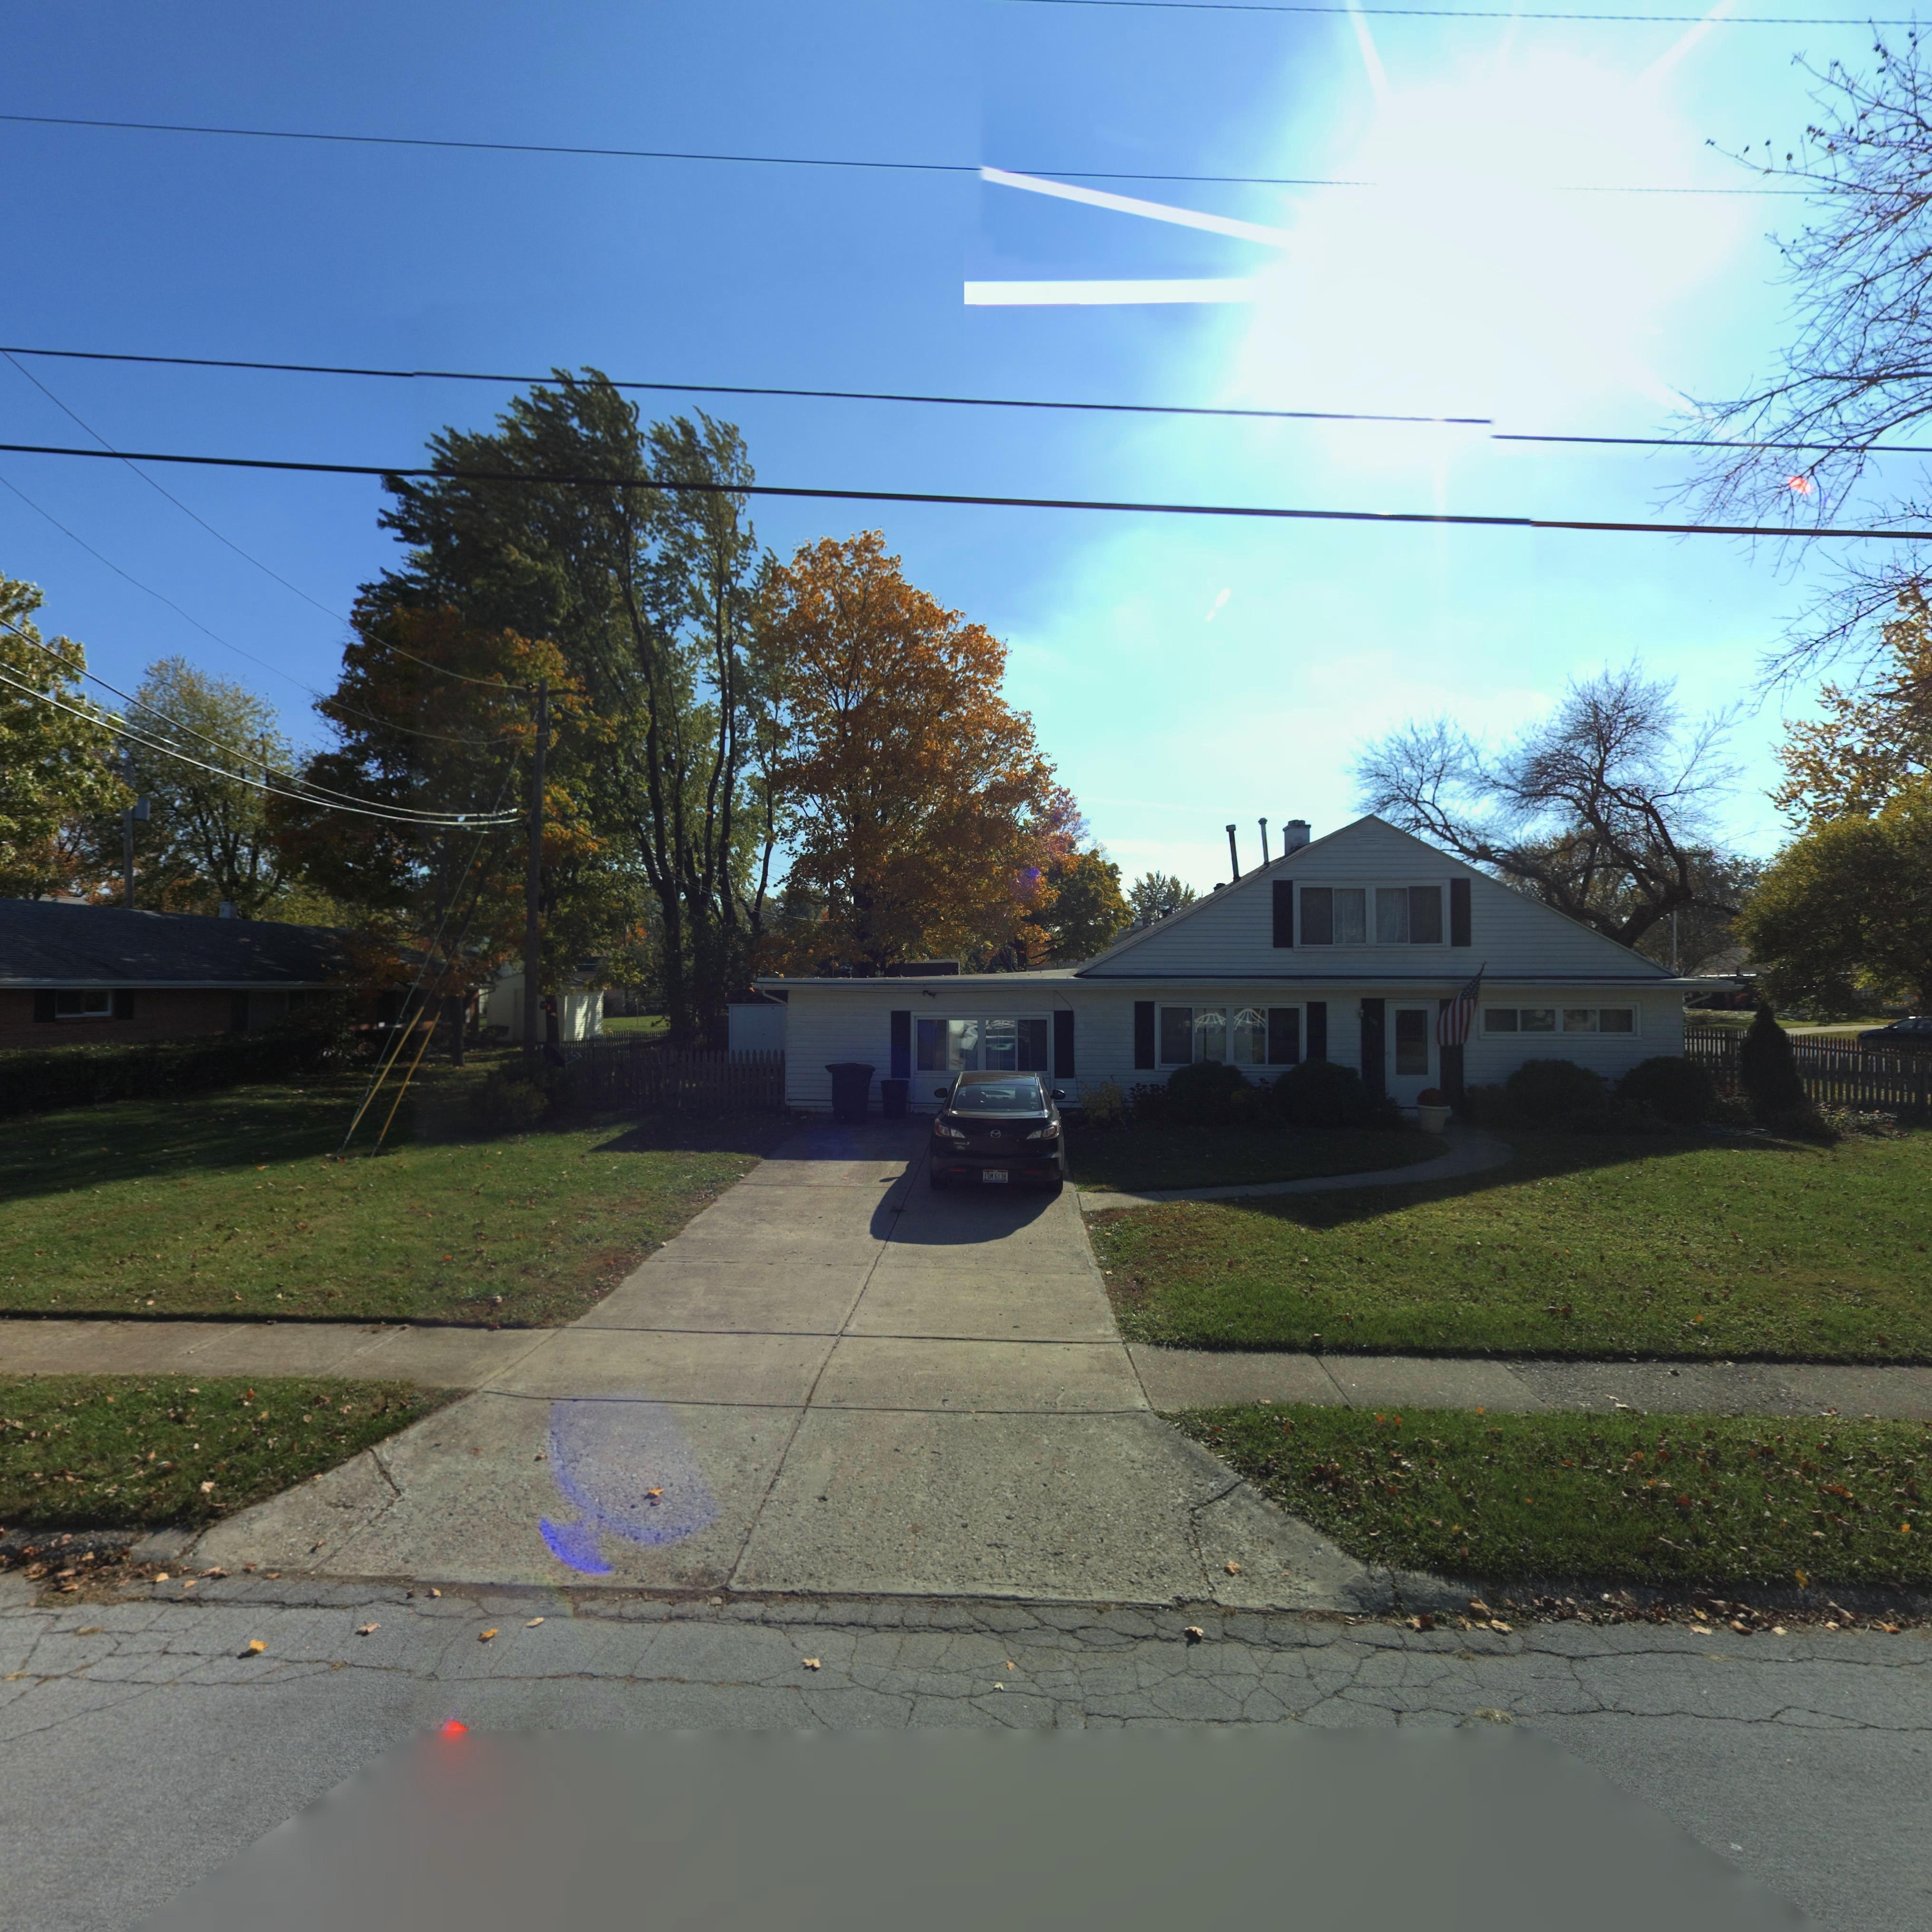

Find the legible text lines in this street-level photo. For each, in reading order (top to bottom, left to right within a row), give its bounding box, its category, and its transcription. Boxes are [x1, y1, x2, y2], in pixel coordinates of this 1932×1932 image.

[984, 1172, 1007, 1181] None: EUM 6138